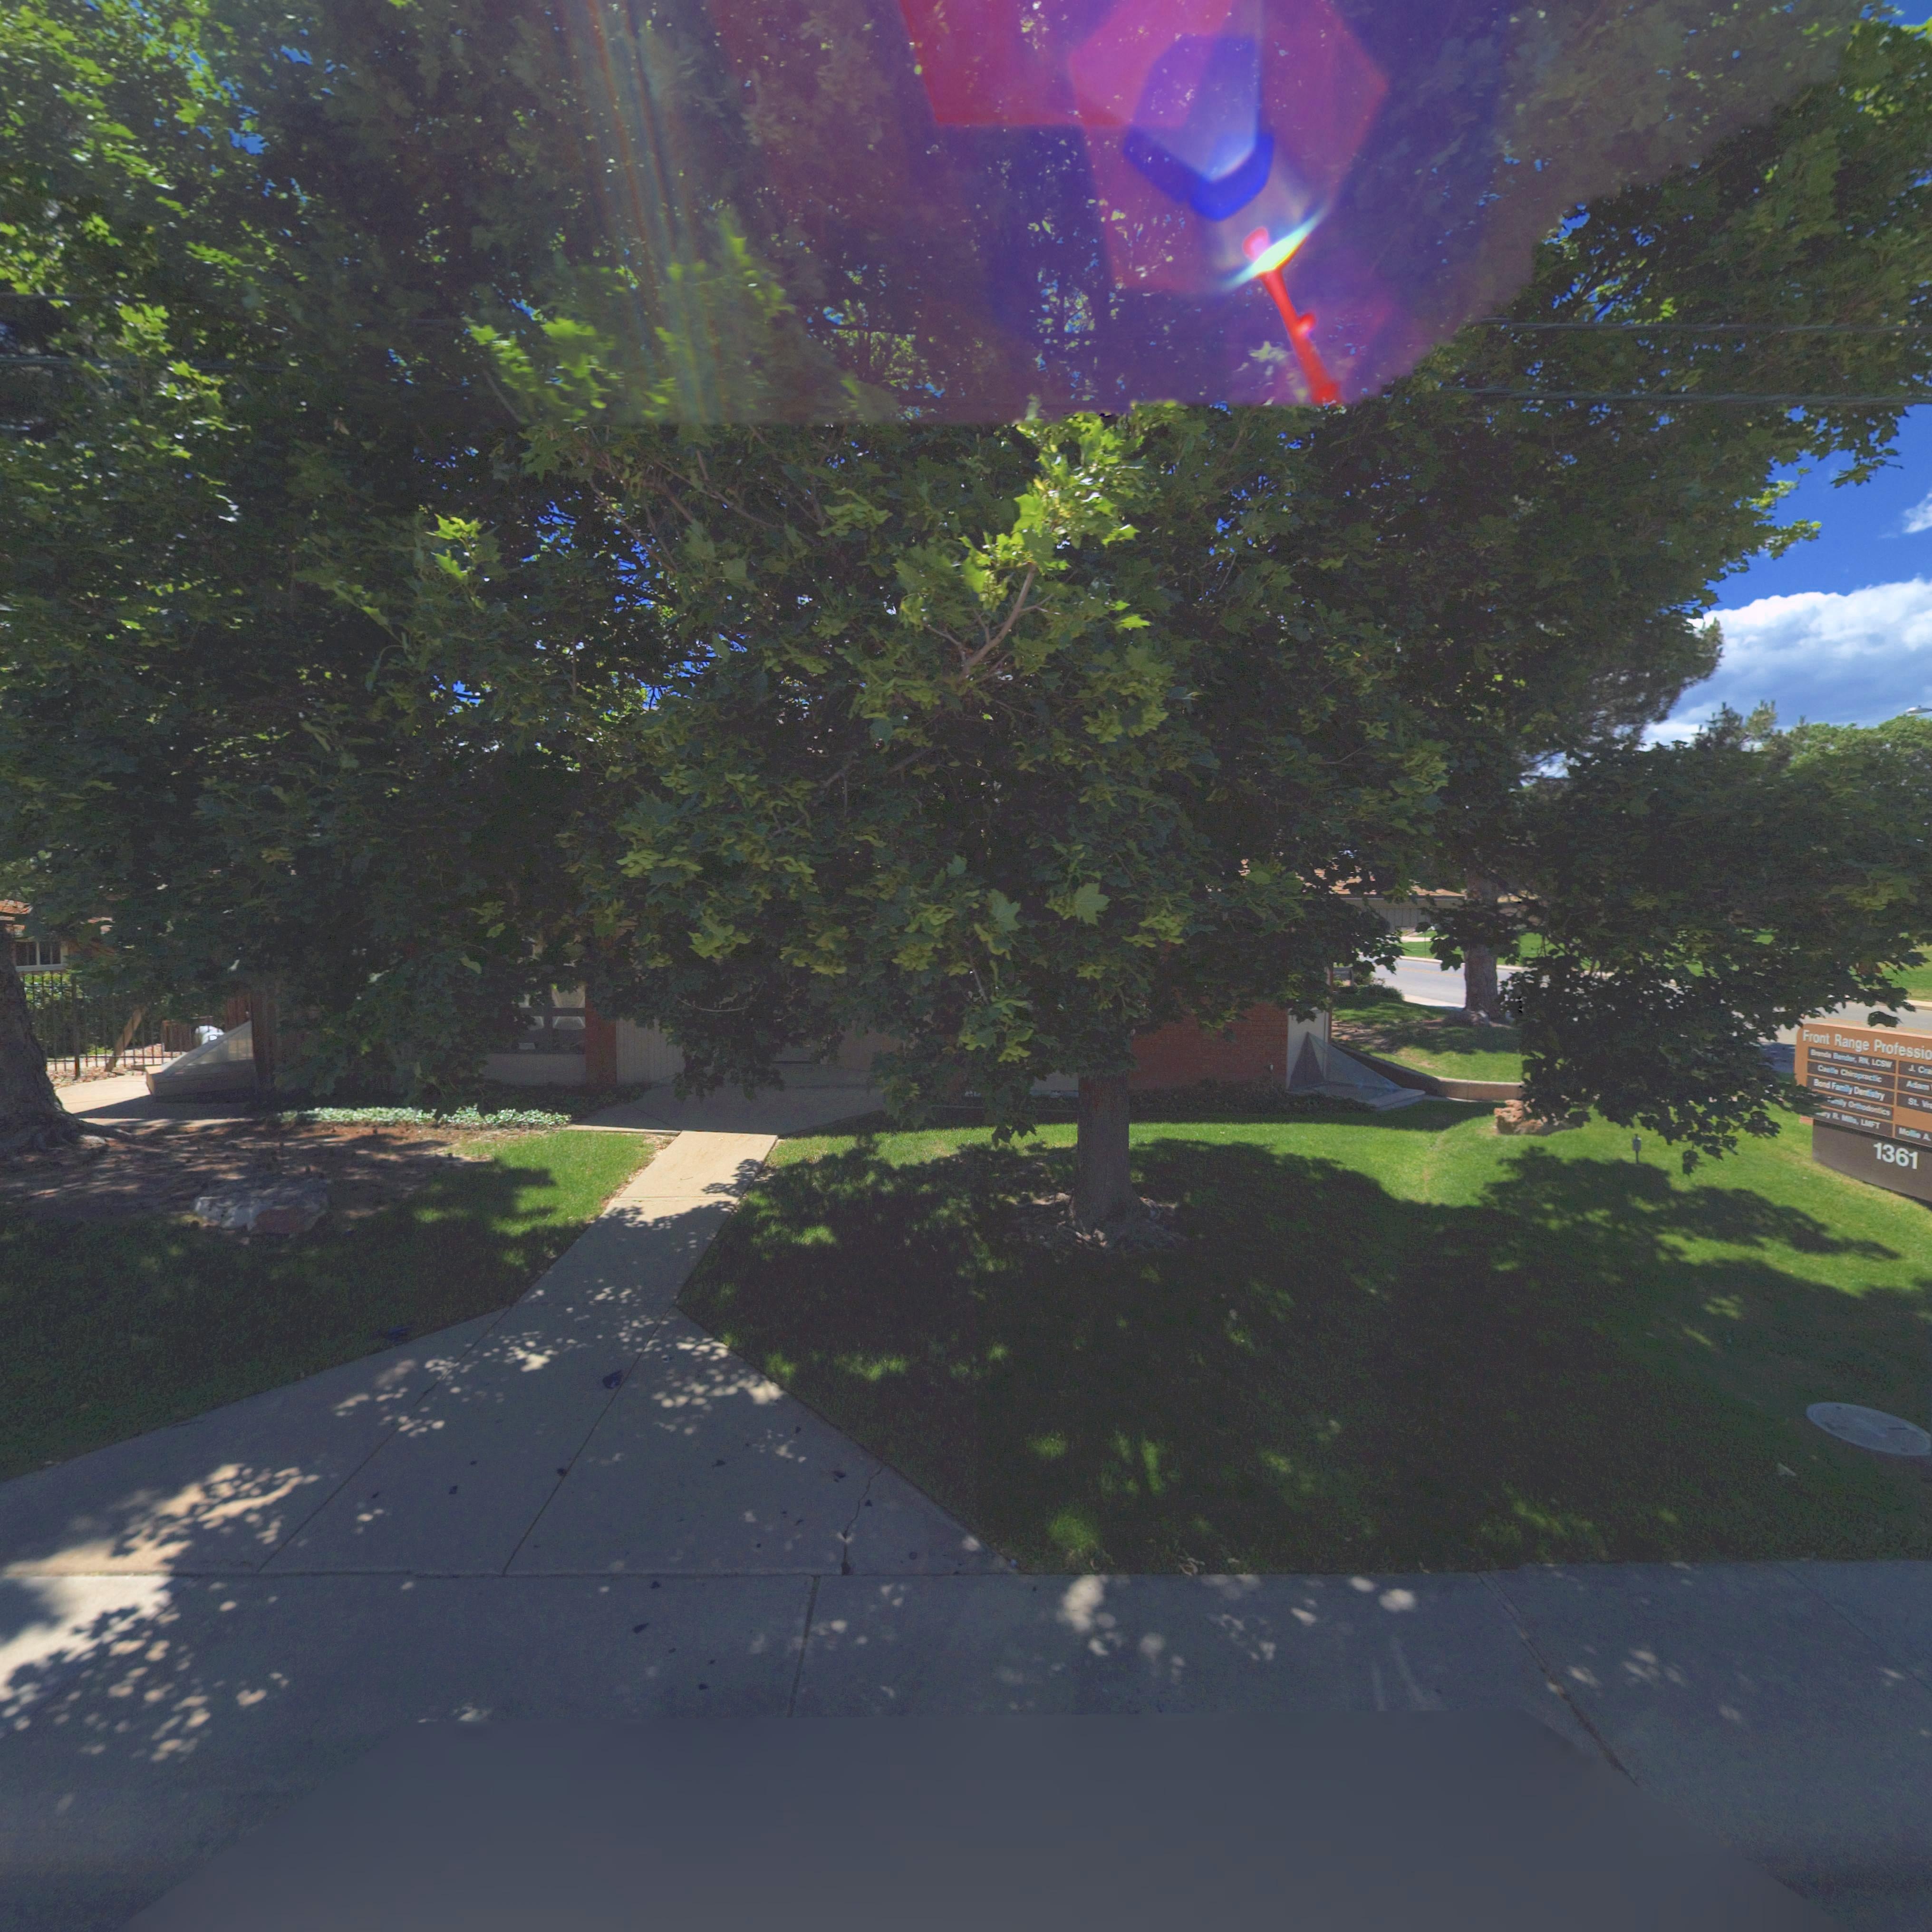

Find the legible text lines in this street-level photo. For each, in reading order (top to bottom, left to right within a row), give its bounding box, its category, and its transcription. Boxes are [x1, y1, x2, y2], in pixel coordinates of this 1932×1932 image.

[1810, 1048, 1893, 1068] BusinessName: B***** Be*der, R*, LCS*
[1817, 1064, 1883, 1083] BusinessName: C****e C****p**c**c
[1906, 1063, 1917, 1073] BusinessName: J.
[1917, 1065, 1931, 1075] BusinessName: C**
[1813, 1077, 1886, 1102] BusinessName: Bond F***** D*******y
[1847, 1100, 1891, 1116] BusinessName: O***od****c*
[1906, 1096, 1920, 1107] BusinessName: St.
[1860, 1118, 1882, 1130] BusinessName: L**T
[1898, 1126, 1931, 1141] BusinessName: Mo***e A.
[1872, 1140, 1921, 1172] StreetNumber: 1361